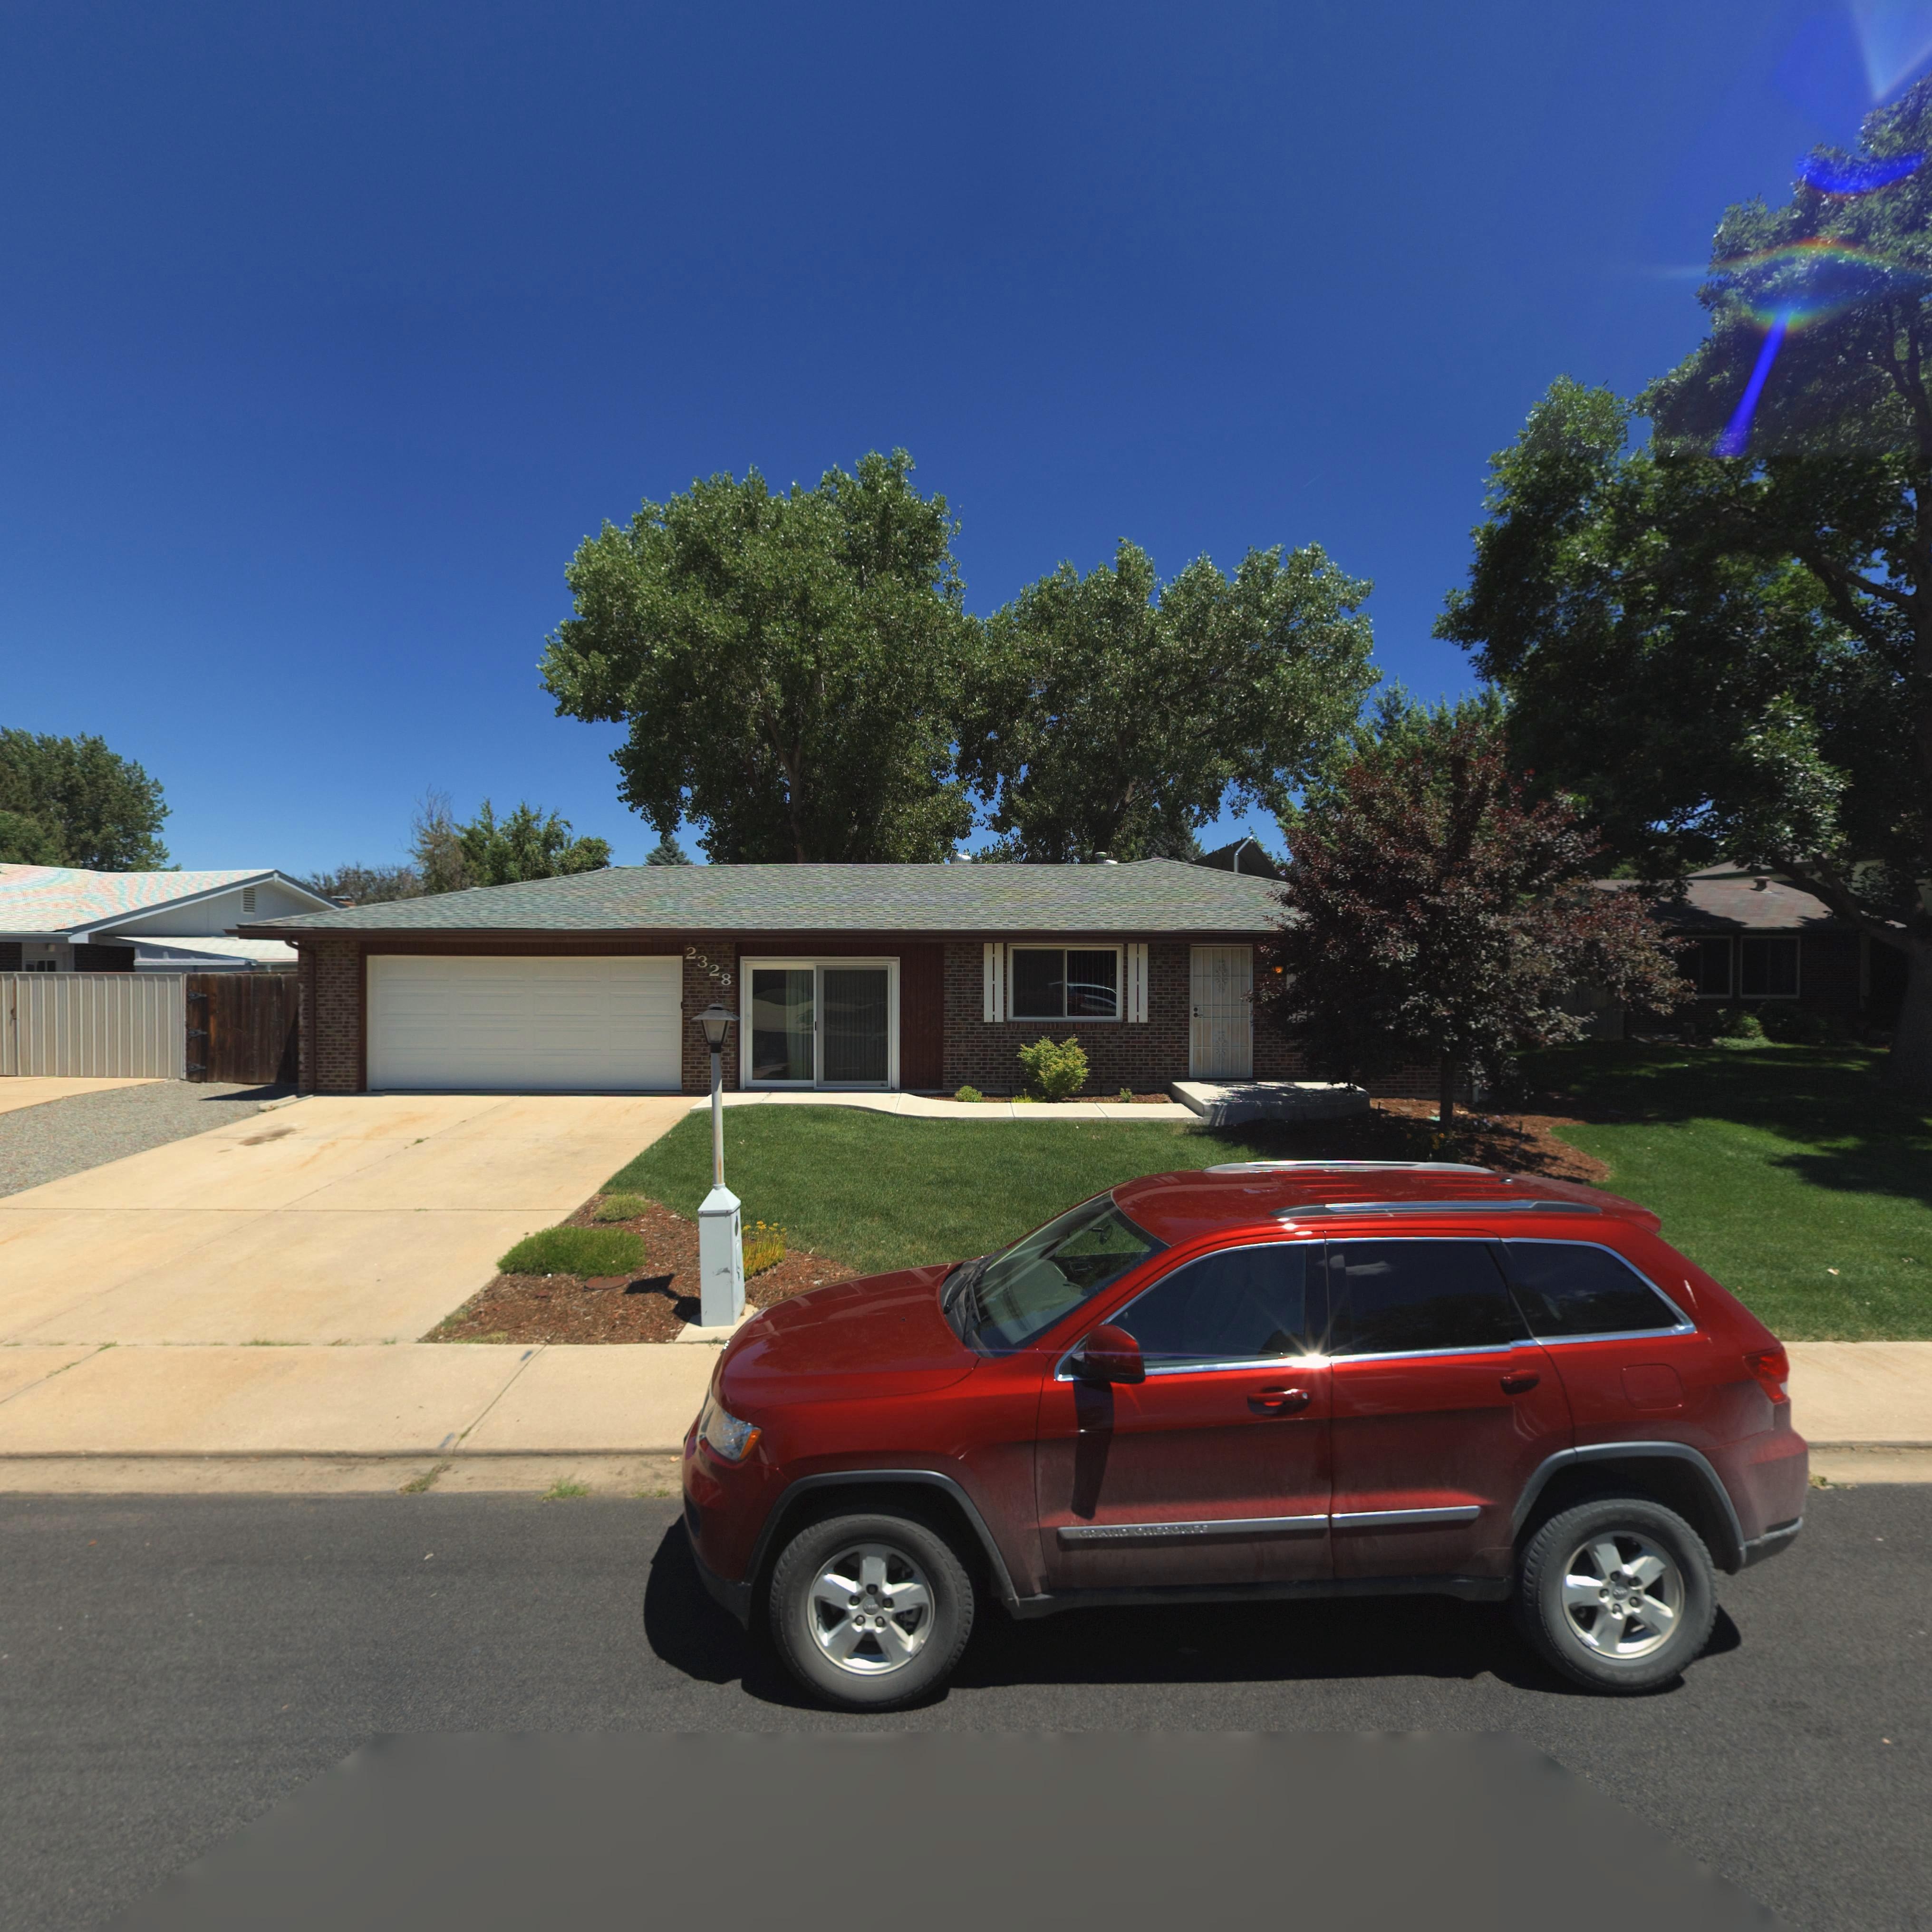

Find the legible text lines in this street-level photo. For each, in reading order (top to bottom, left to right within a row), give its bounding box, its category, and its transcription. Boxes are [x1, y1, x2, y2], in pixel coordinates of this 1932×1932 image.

[686, 947, 732, 986] StreetNumber: 2328